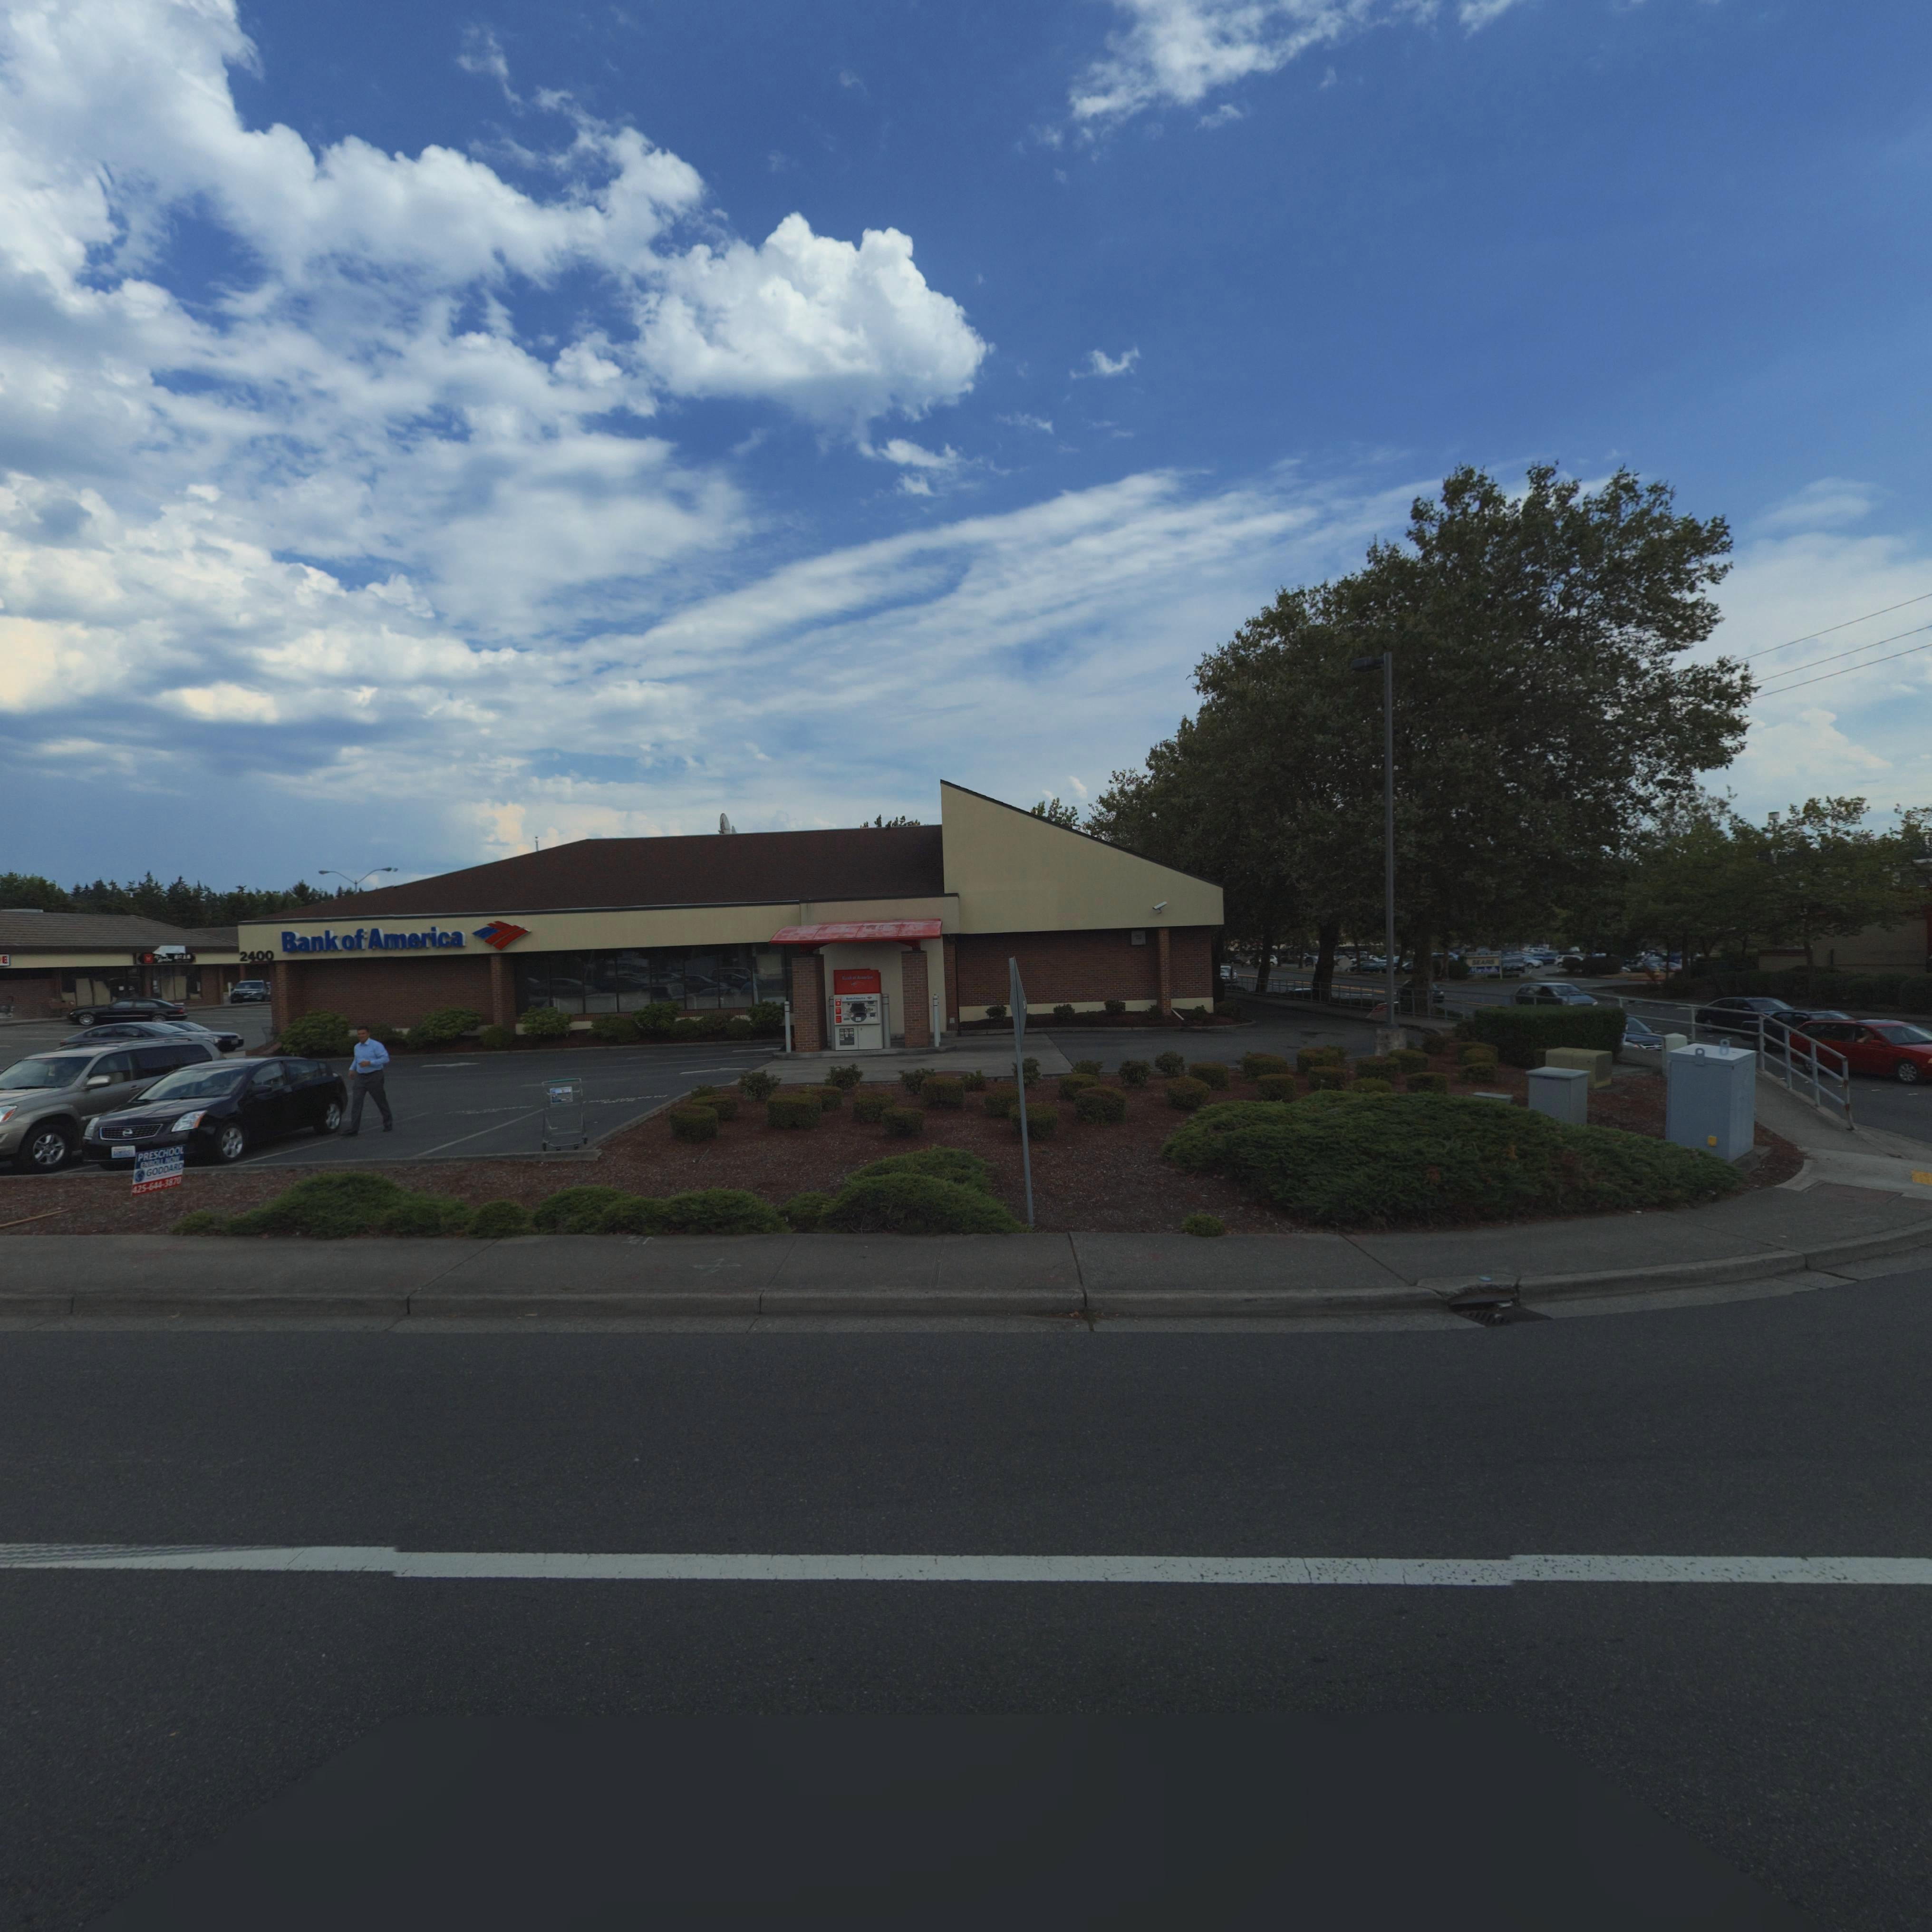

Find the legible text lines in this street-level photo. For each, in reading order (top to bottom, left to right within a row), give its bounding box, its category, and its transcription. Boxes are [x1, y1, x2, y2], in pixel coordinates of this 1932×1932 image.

[280, 926, 464, 953] BusinessName: Bank of America
[1, 955, 8, 964] BusinessName: E
[239, 949, 274, 962] StreetNumber: 2400
[1471, 958, 1495, 965] BusinessName: SEARS
[1468, 966, 1498, 973] BusinessName: Marshalls
[146, 1162, 184, 1177] BusinessName: GODDARD